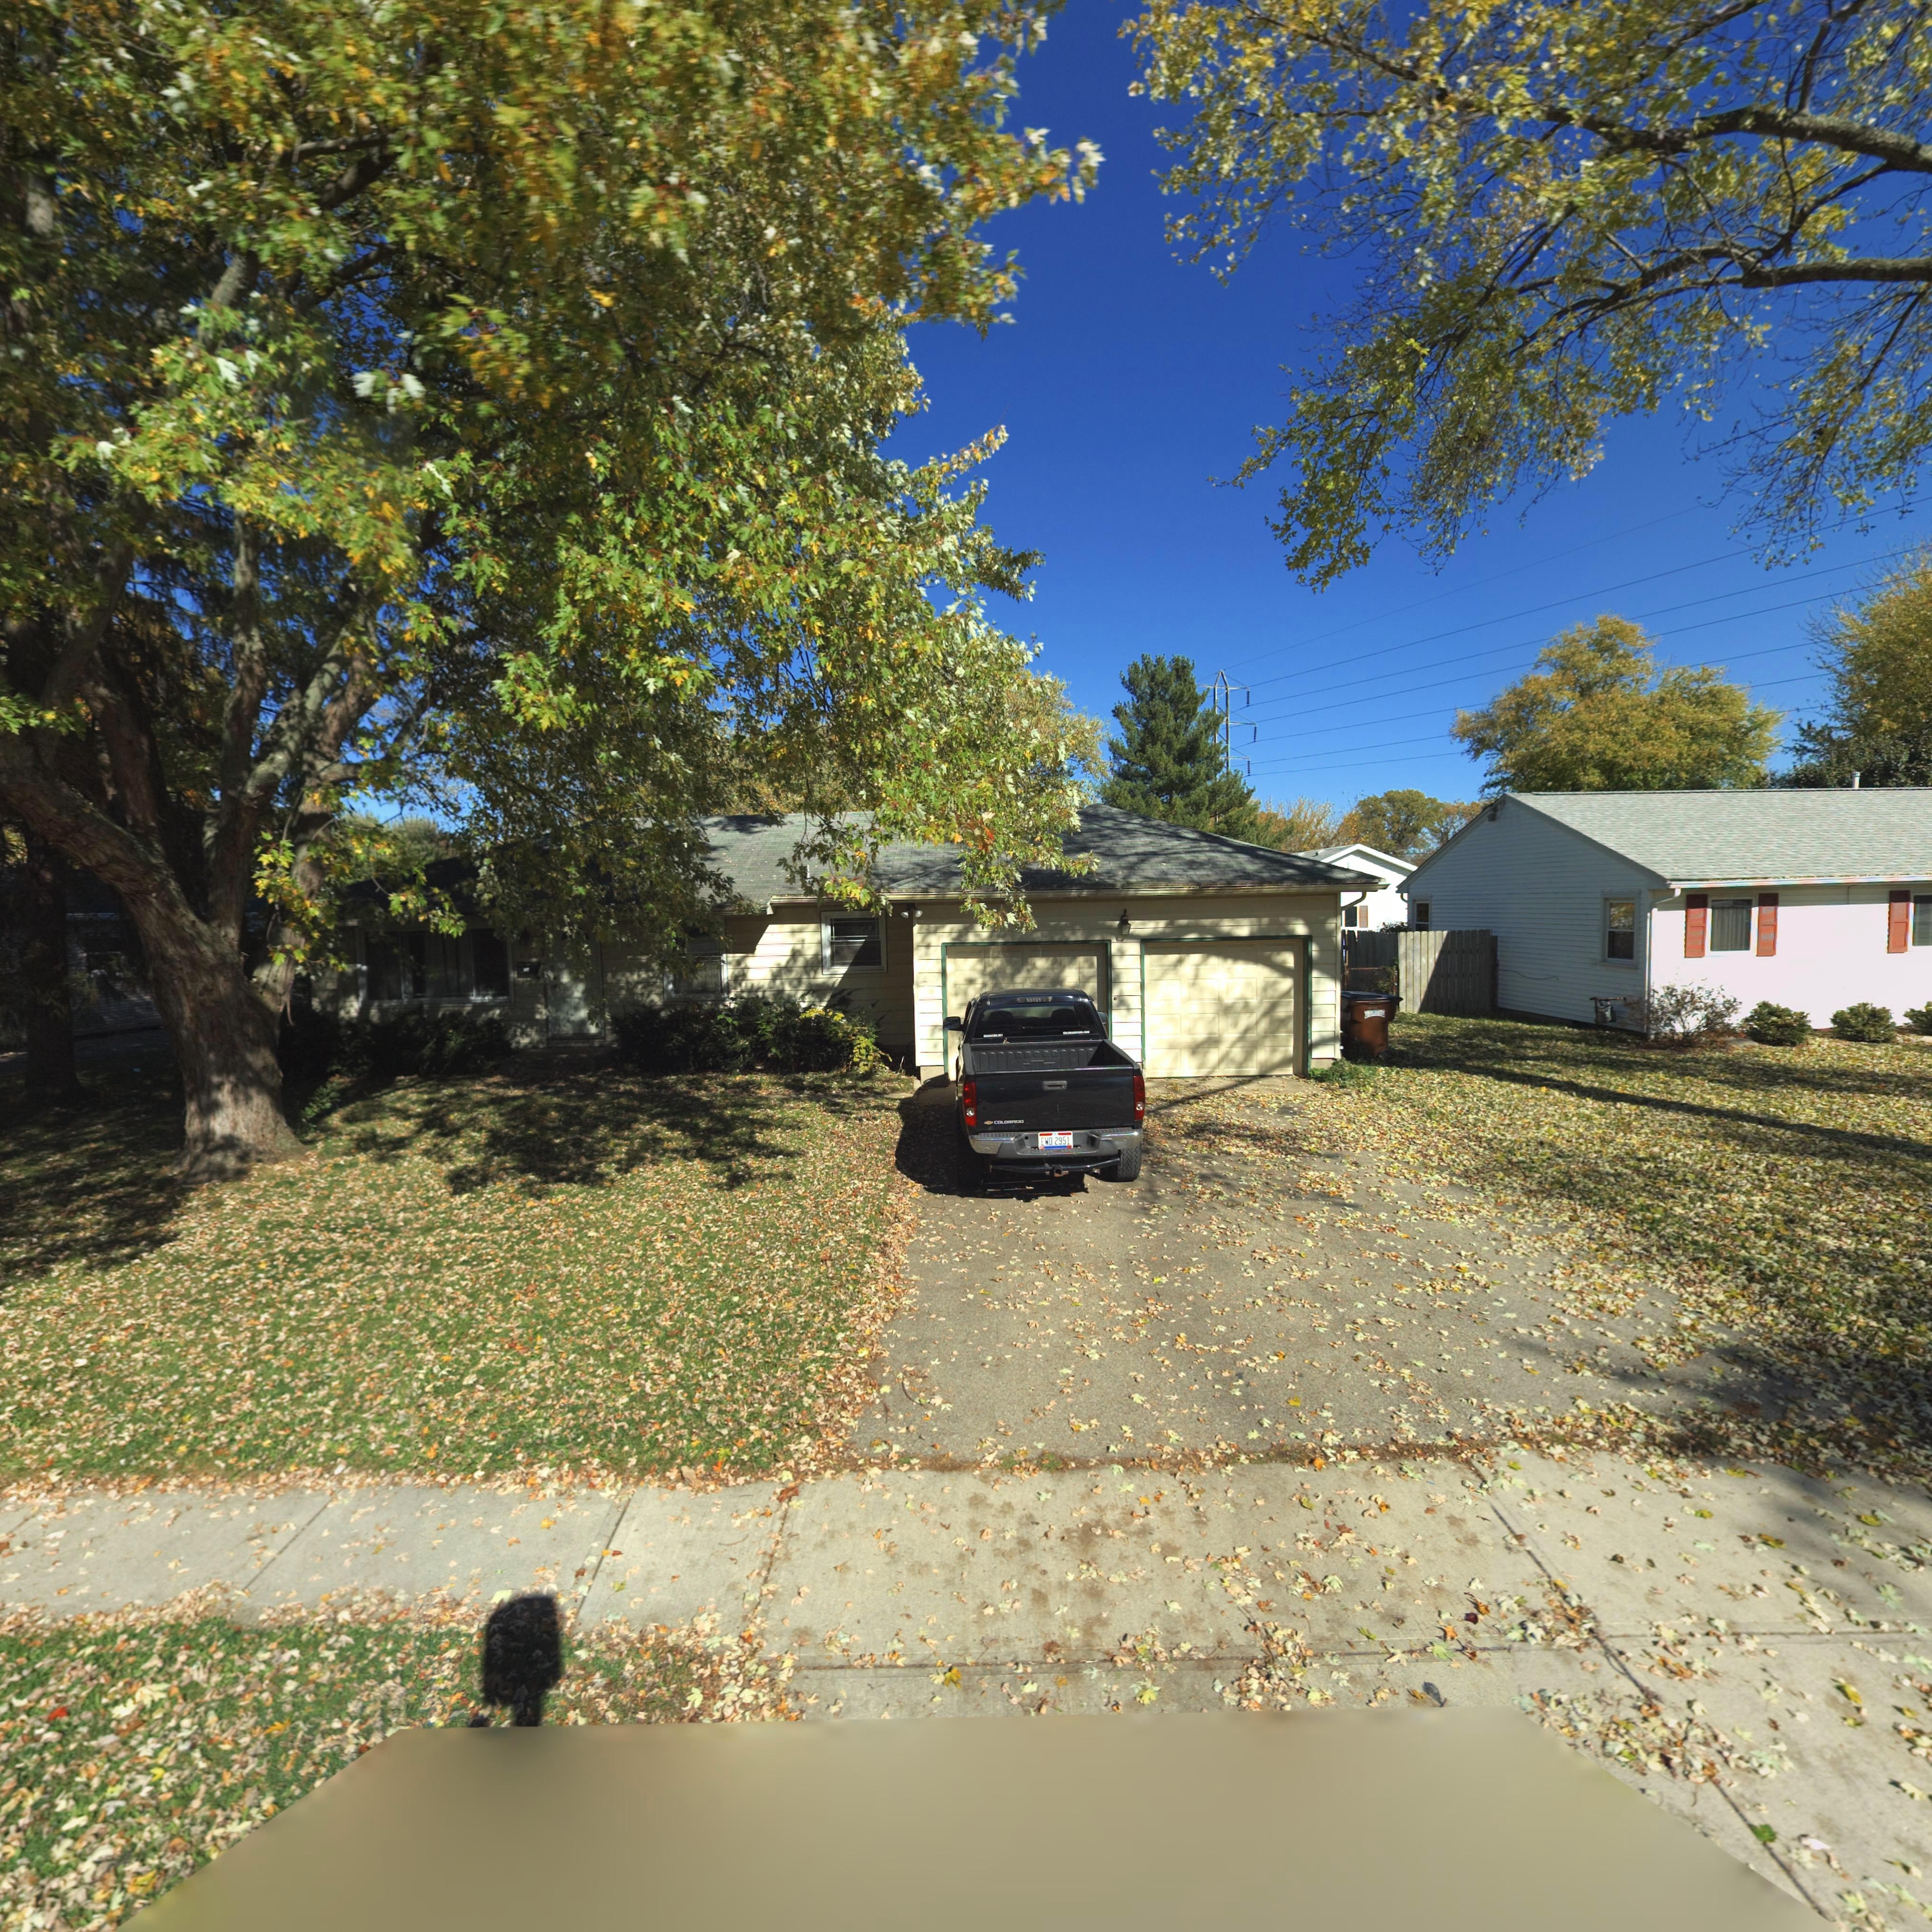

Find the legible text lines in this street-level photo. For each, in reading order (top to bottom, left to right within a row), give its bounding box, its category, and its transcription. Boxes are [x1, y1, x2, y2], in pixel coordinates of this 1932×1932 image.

[519, 952, 531, 959] StreetNumber: 2*1
[993, 1119, 1024, 1125] None: COLORADO
[1040, 1136, 1071, 1146] None: EWD*2951